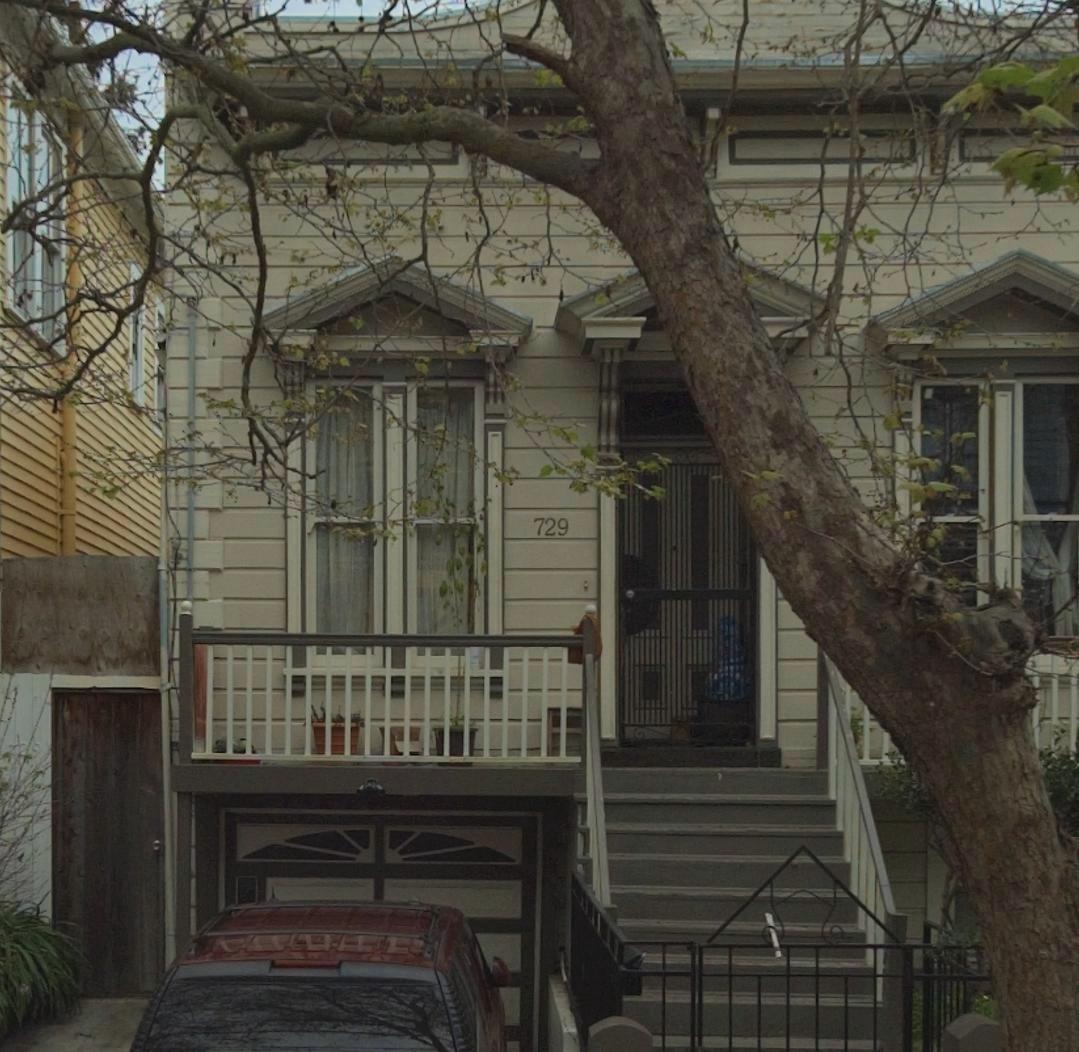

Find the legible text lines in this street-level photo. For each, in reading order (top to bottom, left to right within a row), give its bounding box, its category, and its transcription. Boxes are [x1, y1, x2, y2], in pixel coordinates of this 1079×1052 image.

[532, 515, 570, 537] StreetNumber: 729